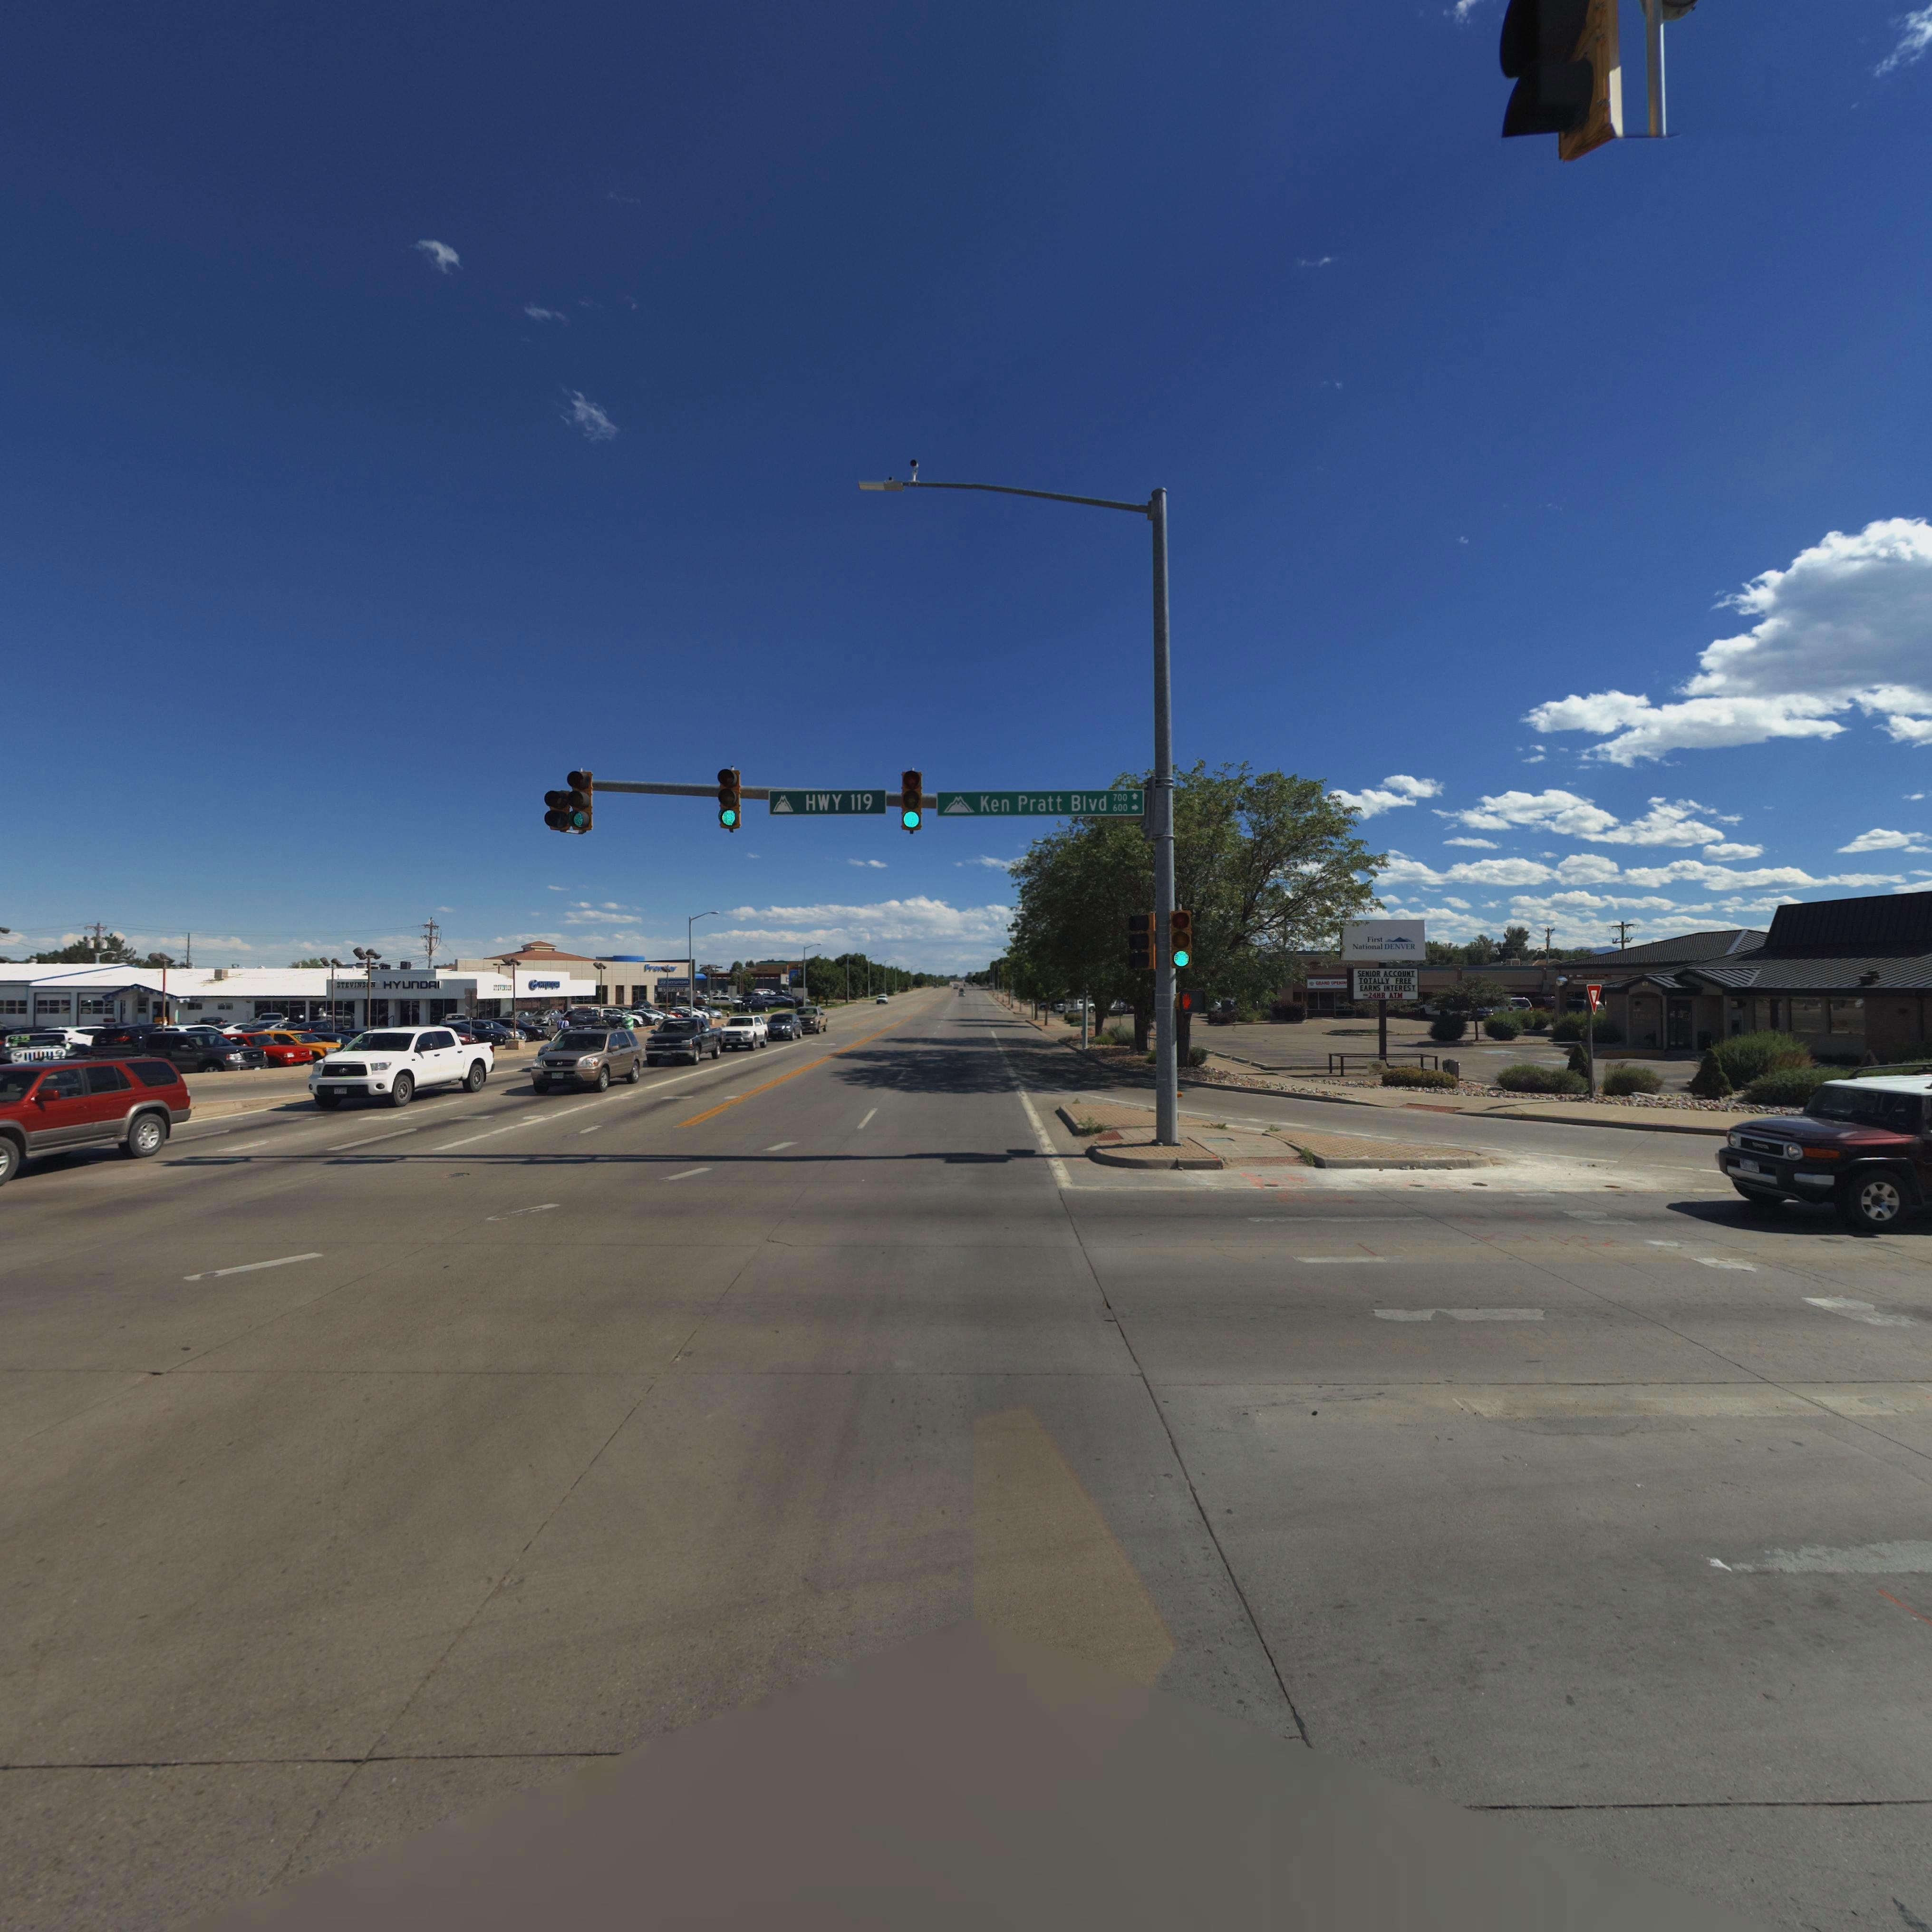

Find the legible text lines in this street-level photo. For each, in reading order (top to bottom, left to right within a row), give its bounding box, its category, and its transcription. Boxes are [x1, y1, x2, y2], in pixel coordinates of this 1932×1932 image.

[1112, 792, 1128, 802] StreetNumberRange: 700
[805, 792, 874, 811] StreetName: HWY 119
[979, 793, 1108, 813] StreetName: Ken Pratt Blvd
[1112, 803, 1139, 812] StreetNumberRange: 600 ->
[1367, 936, 1383, 942] BusinessName: First
[1352, 943, 1415, 950] BusinessName: National DENVER
[336, 981, 376, 988] BusinessName: STEVINS*N
[383, 980, 440, 989] BusinessName: HYUnDAI
[493, 984, 512, 991] BusinessName: STEV*****
[539, 981, 560, 988] BusinessName: HYUnDAI
[661, 987, 686, 991] BusinessName: S**VI*SON
[667, 979, 688, 984] BusinessName: *YU**AI